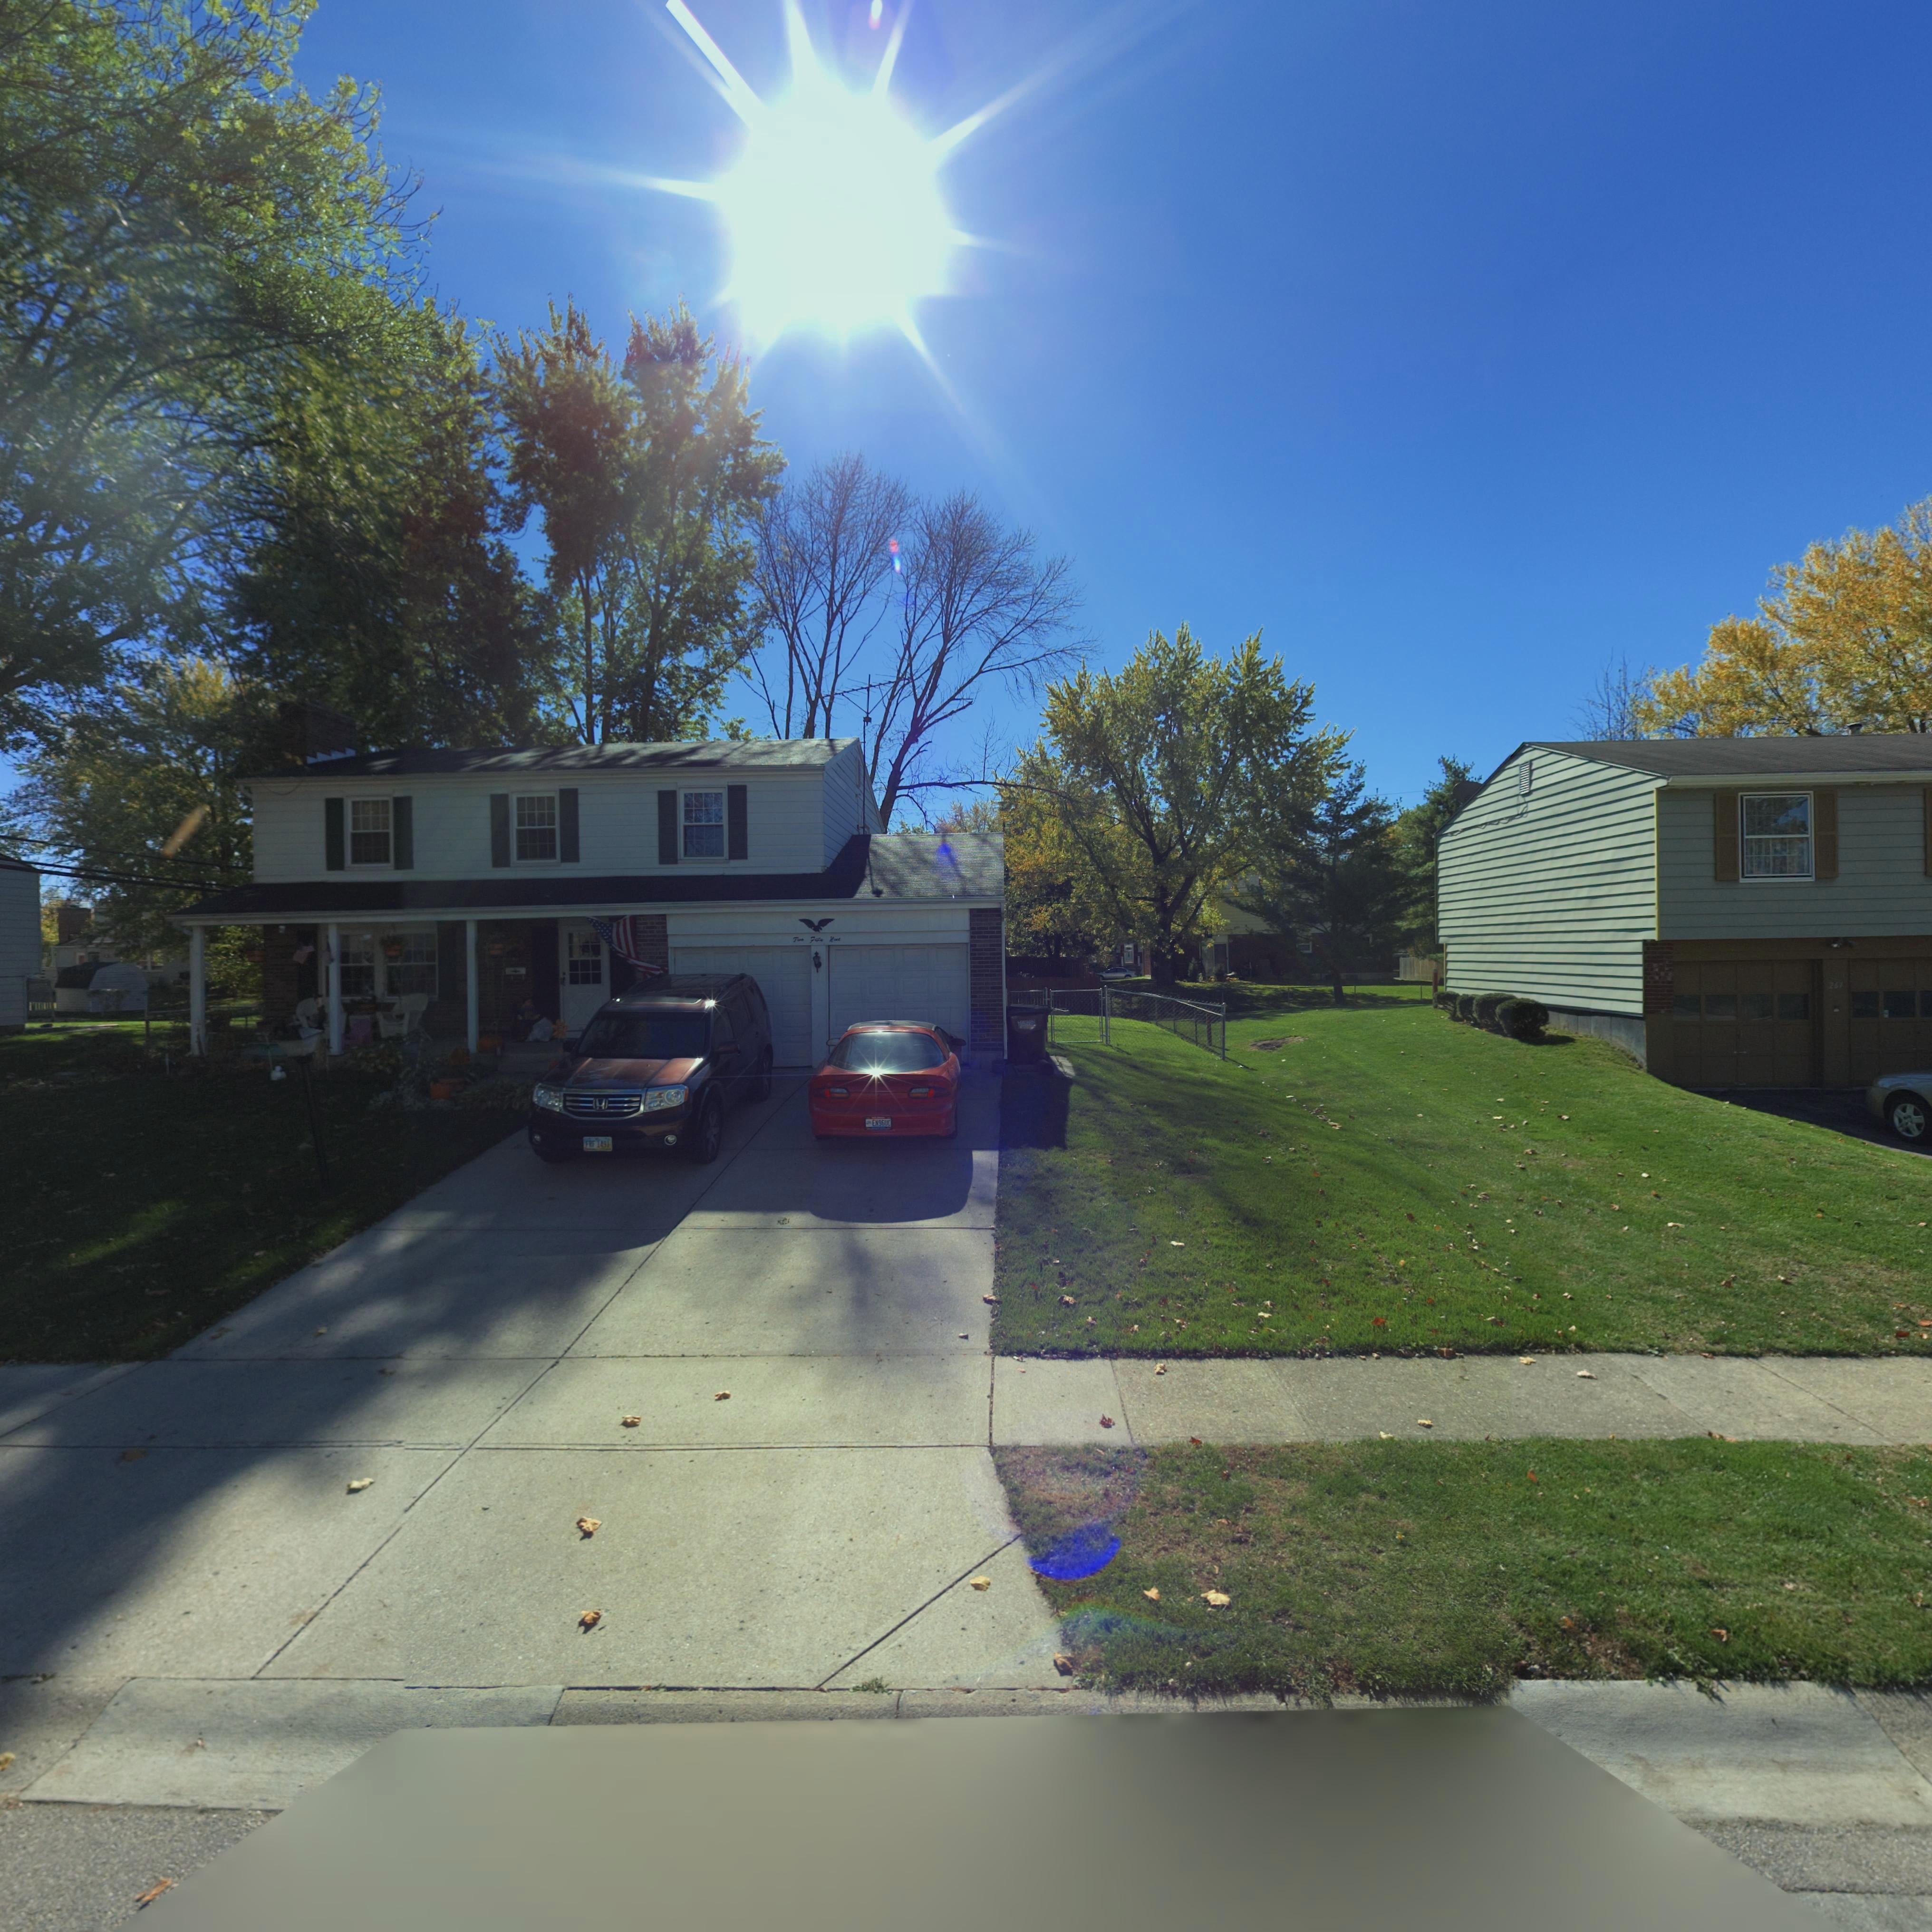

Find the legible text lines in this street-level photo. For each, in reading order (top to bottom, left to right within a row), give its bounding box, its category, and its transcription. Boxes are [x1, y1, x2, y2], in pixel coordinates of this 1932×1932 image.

[1828, 981, 1844, 990] StreetNumber: 261